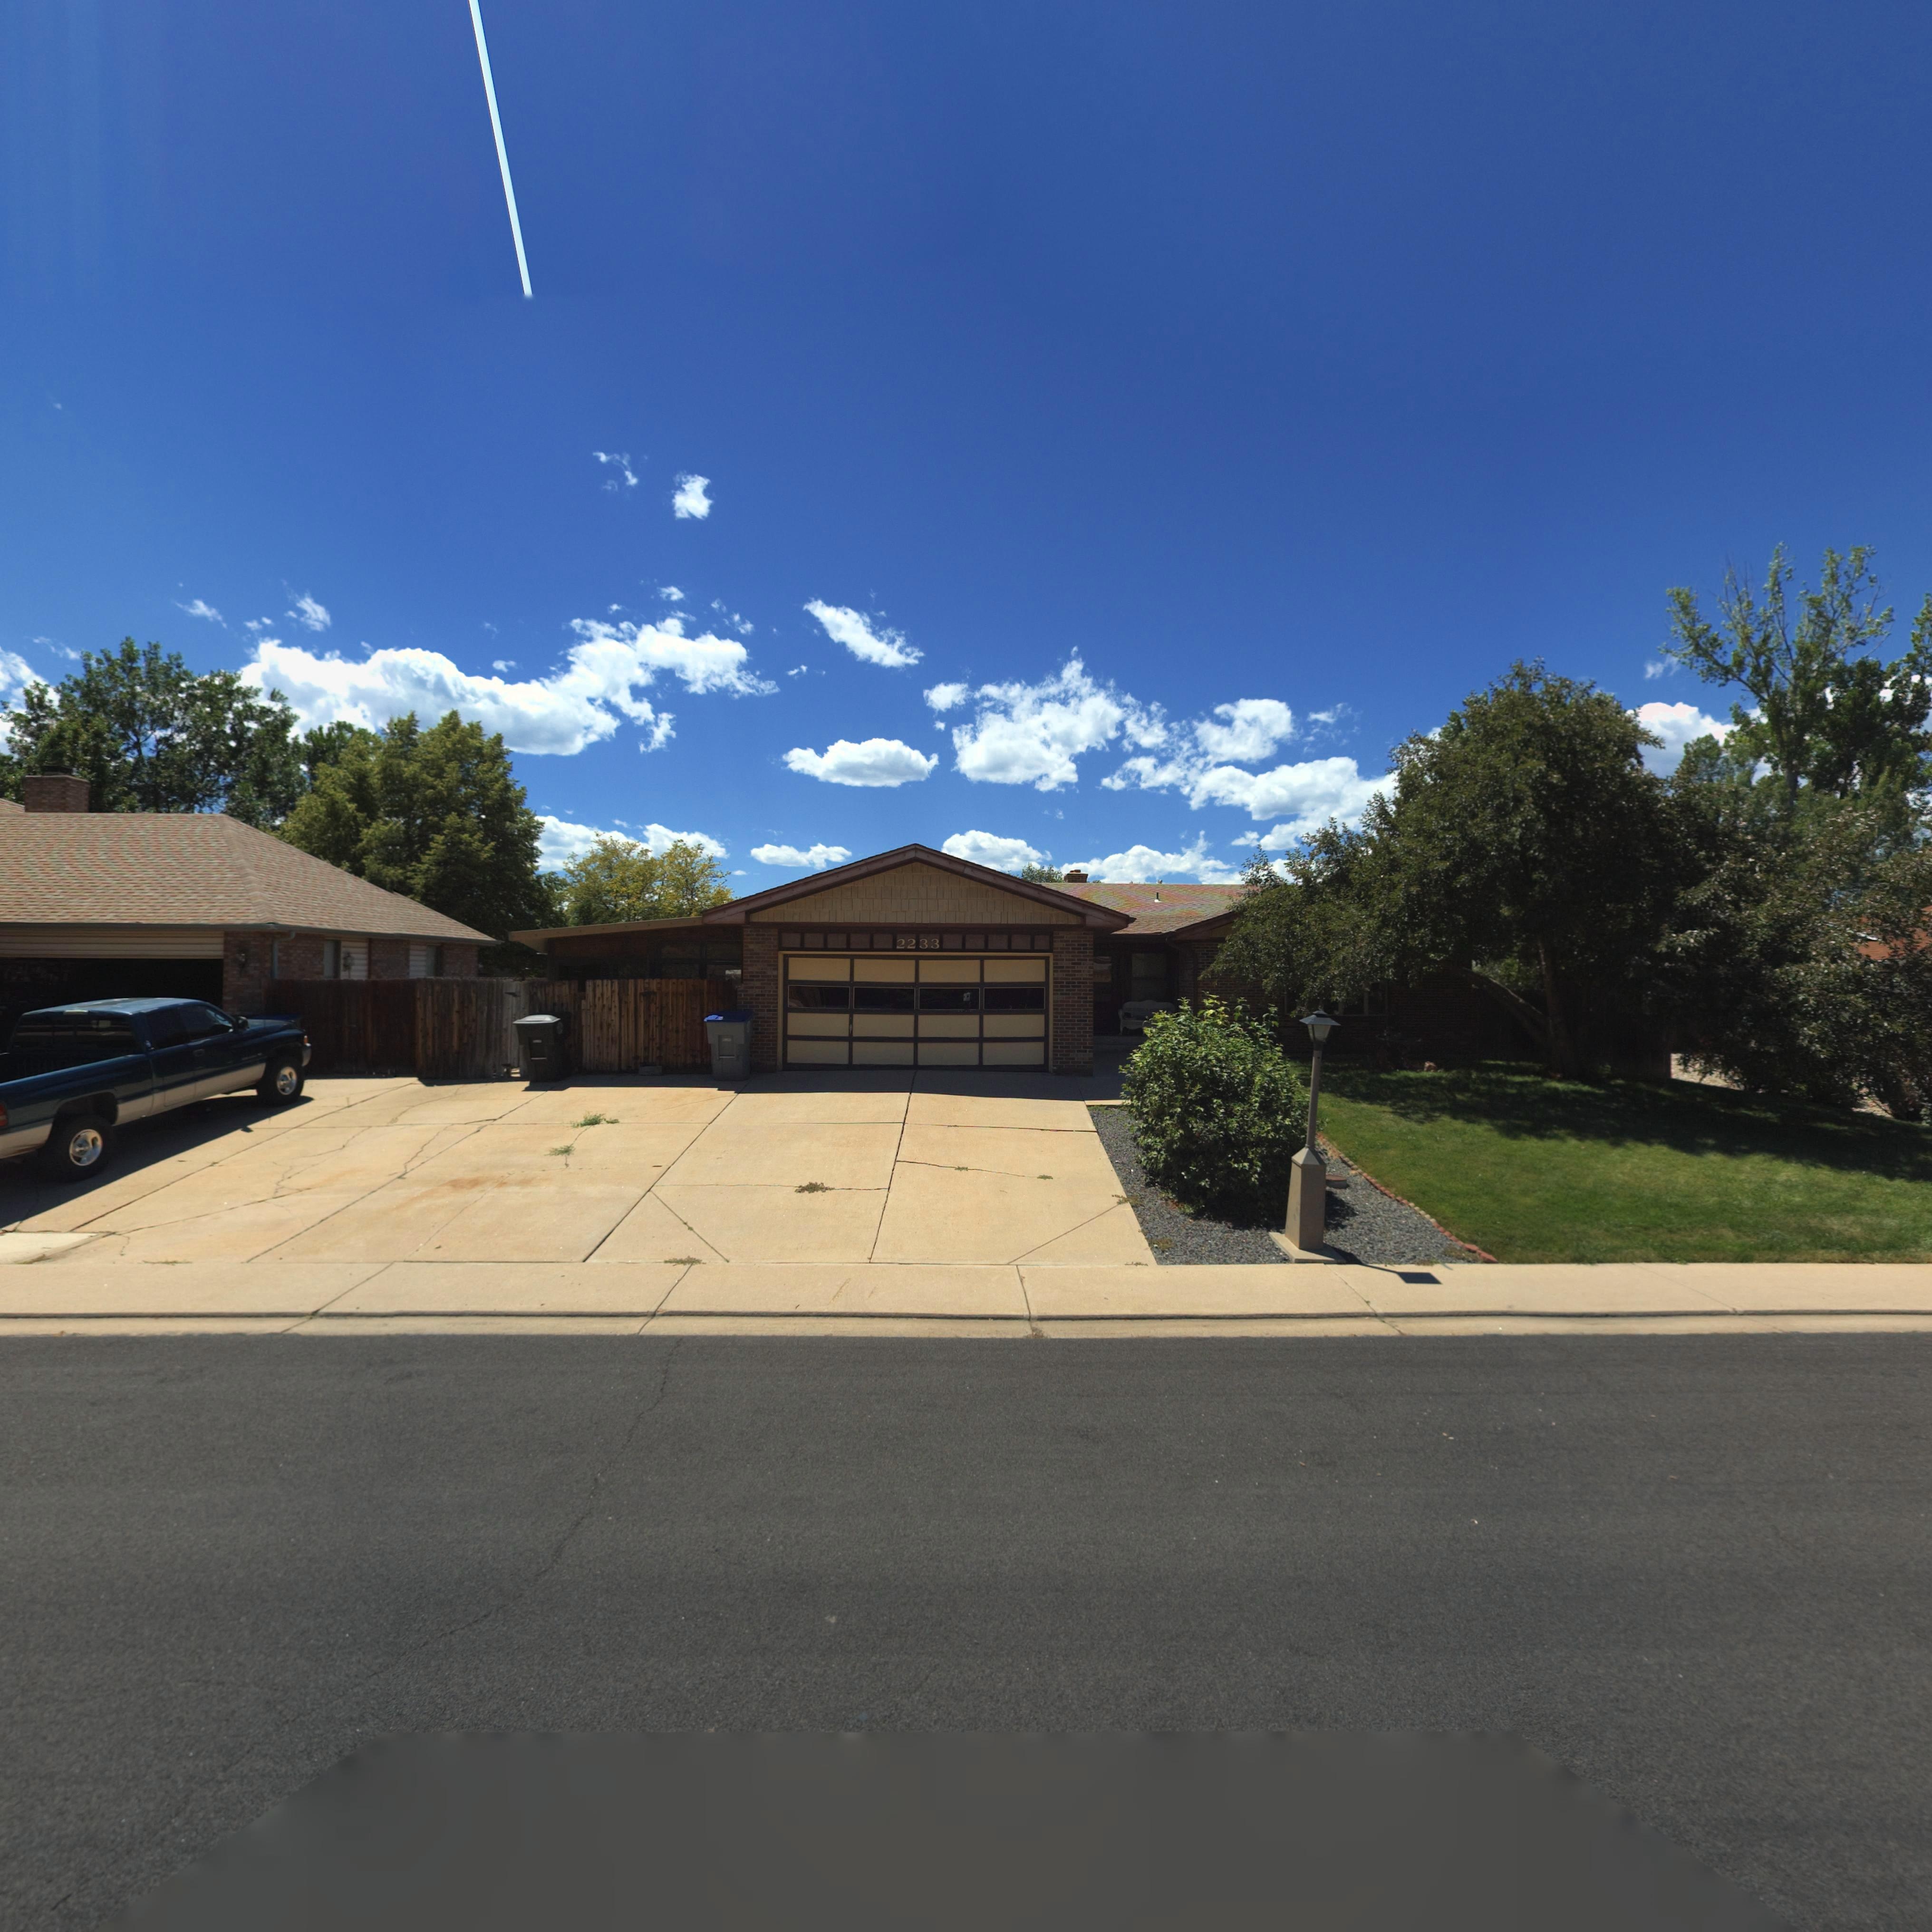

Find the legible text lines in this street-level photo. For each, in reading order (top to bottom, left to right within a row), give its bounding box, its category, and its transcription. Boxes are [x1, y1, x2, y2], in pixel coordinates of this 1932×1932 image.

[896, 935, 941, 949] StreetNumber: 2233